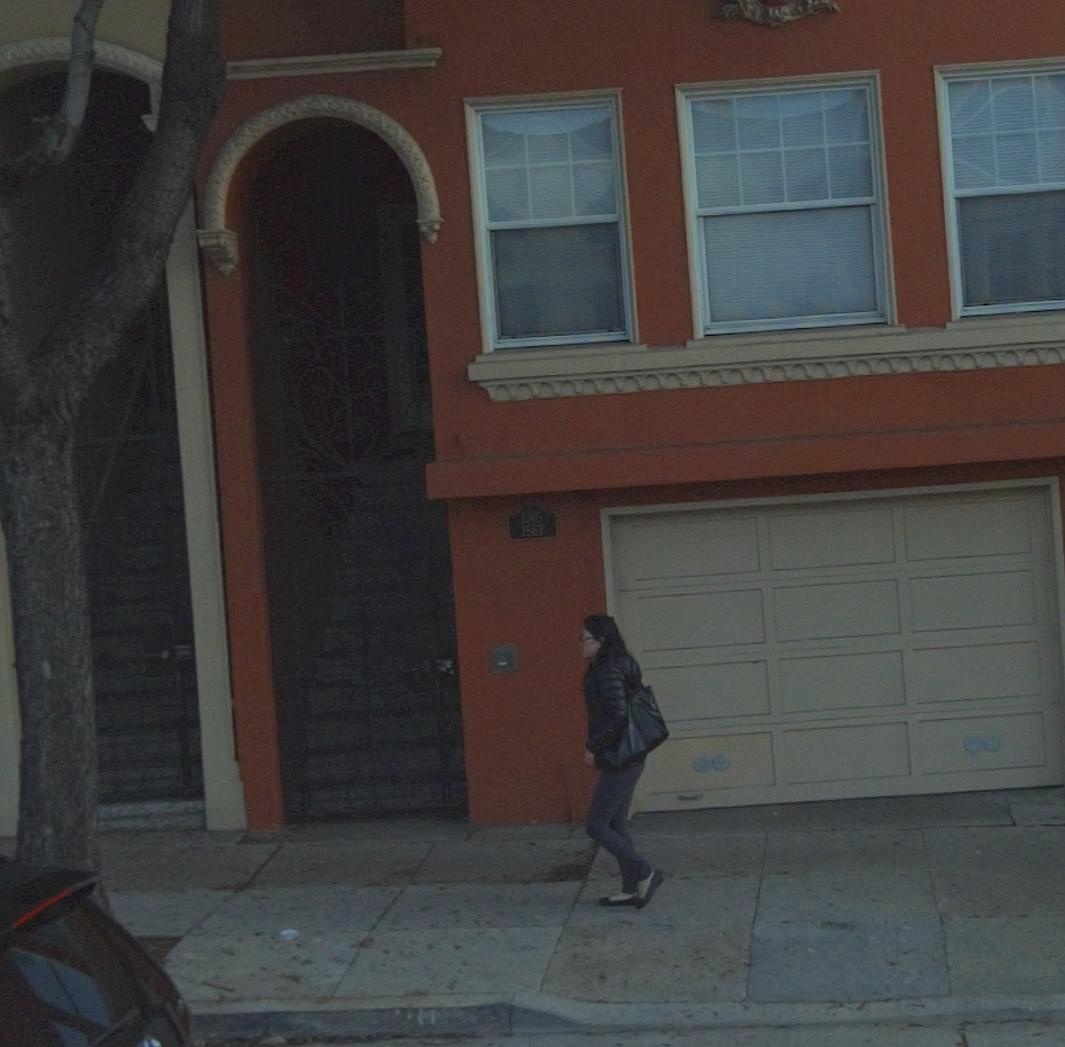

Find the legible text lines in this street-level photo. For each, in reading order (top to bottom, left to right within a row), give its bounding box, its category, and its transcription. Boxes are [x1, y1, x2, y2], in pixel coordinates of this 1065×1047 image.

[519, 508, 545, 526] StreetNumber: 1565
[519, 523, 546, 540] None: 1563